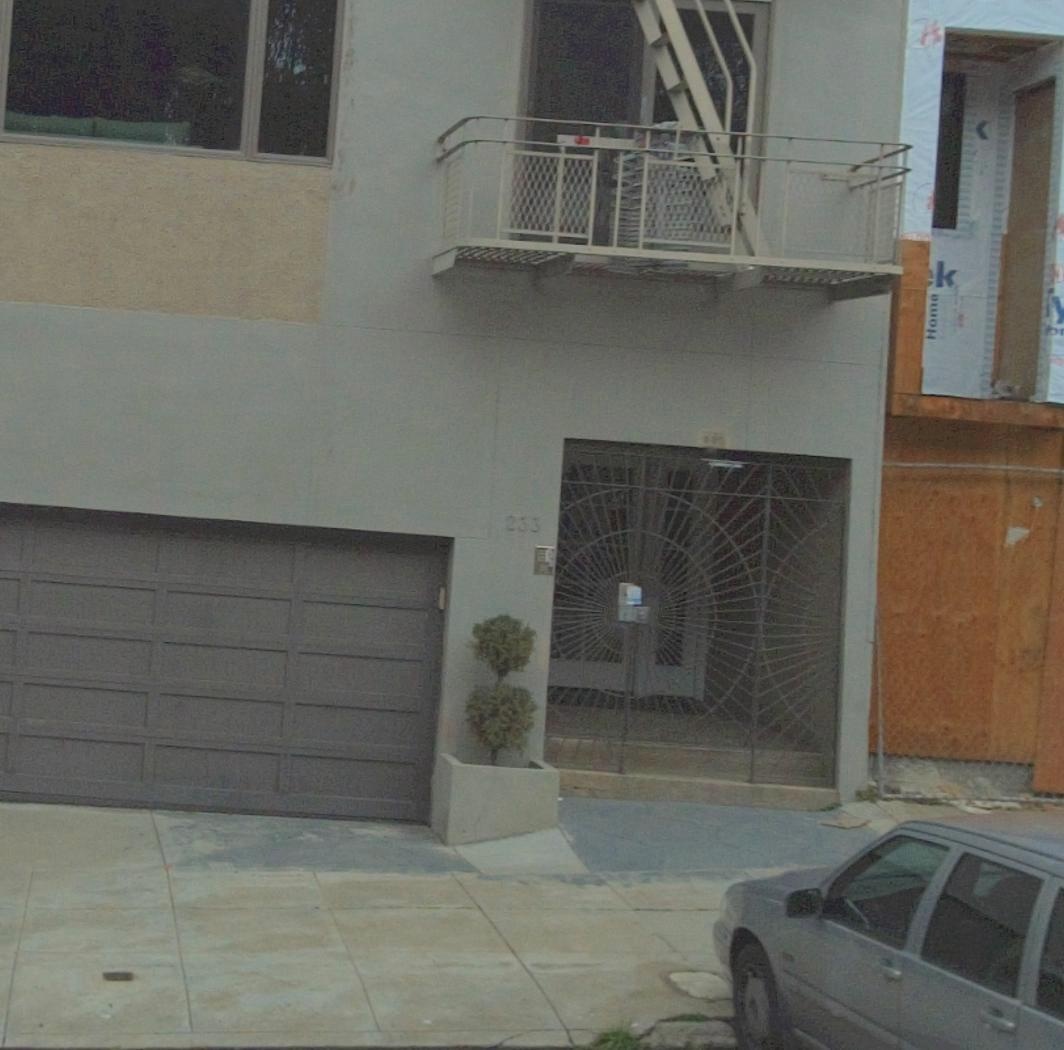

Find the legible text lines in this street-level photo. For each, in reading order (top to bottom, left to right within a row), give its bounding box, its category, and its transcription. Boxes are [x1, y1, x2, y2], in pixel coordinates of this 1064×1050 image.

[935, 260, 959, 289] None: k
[506, 515, 542, 533] StreetNumber: 233